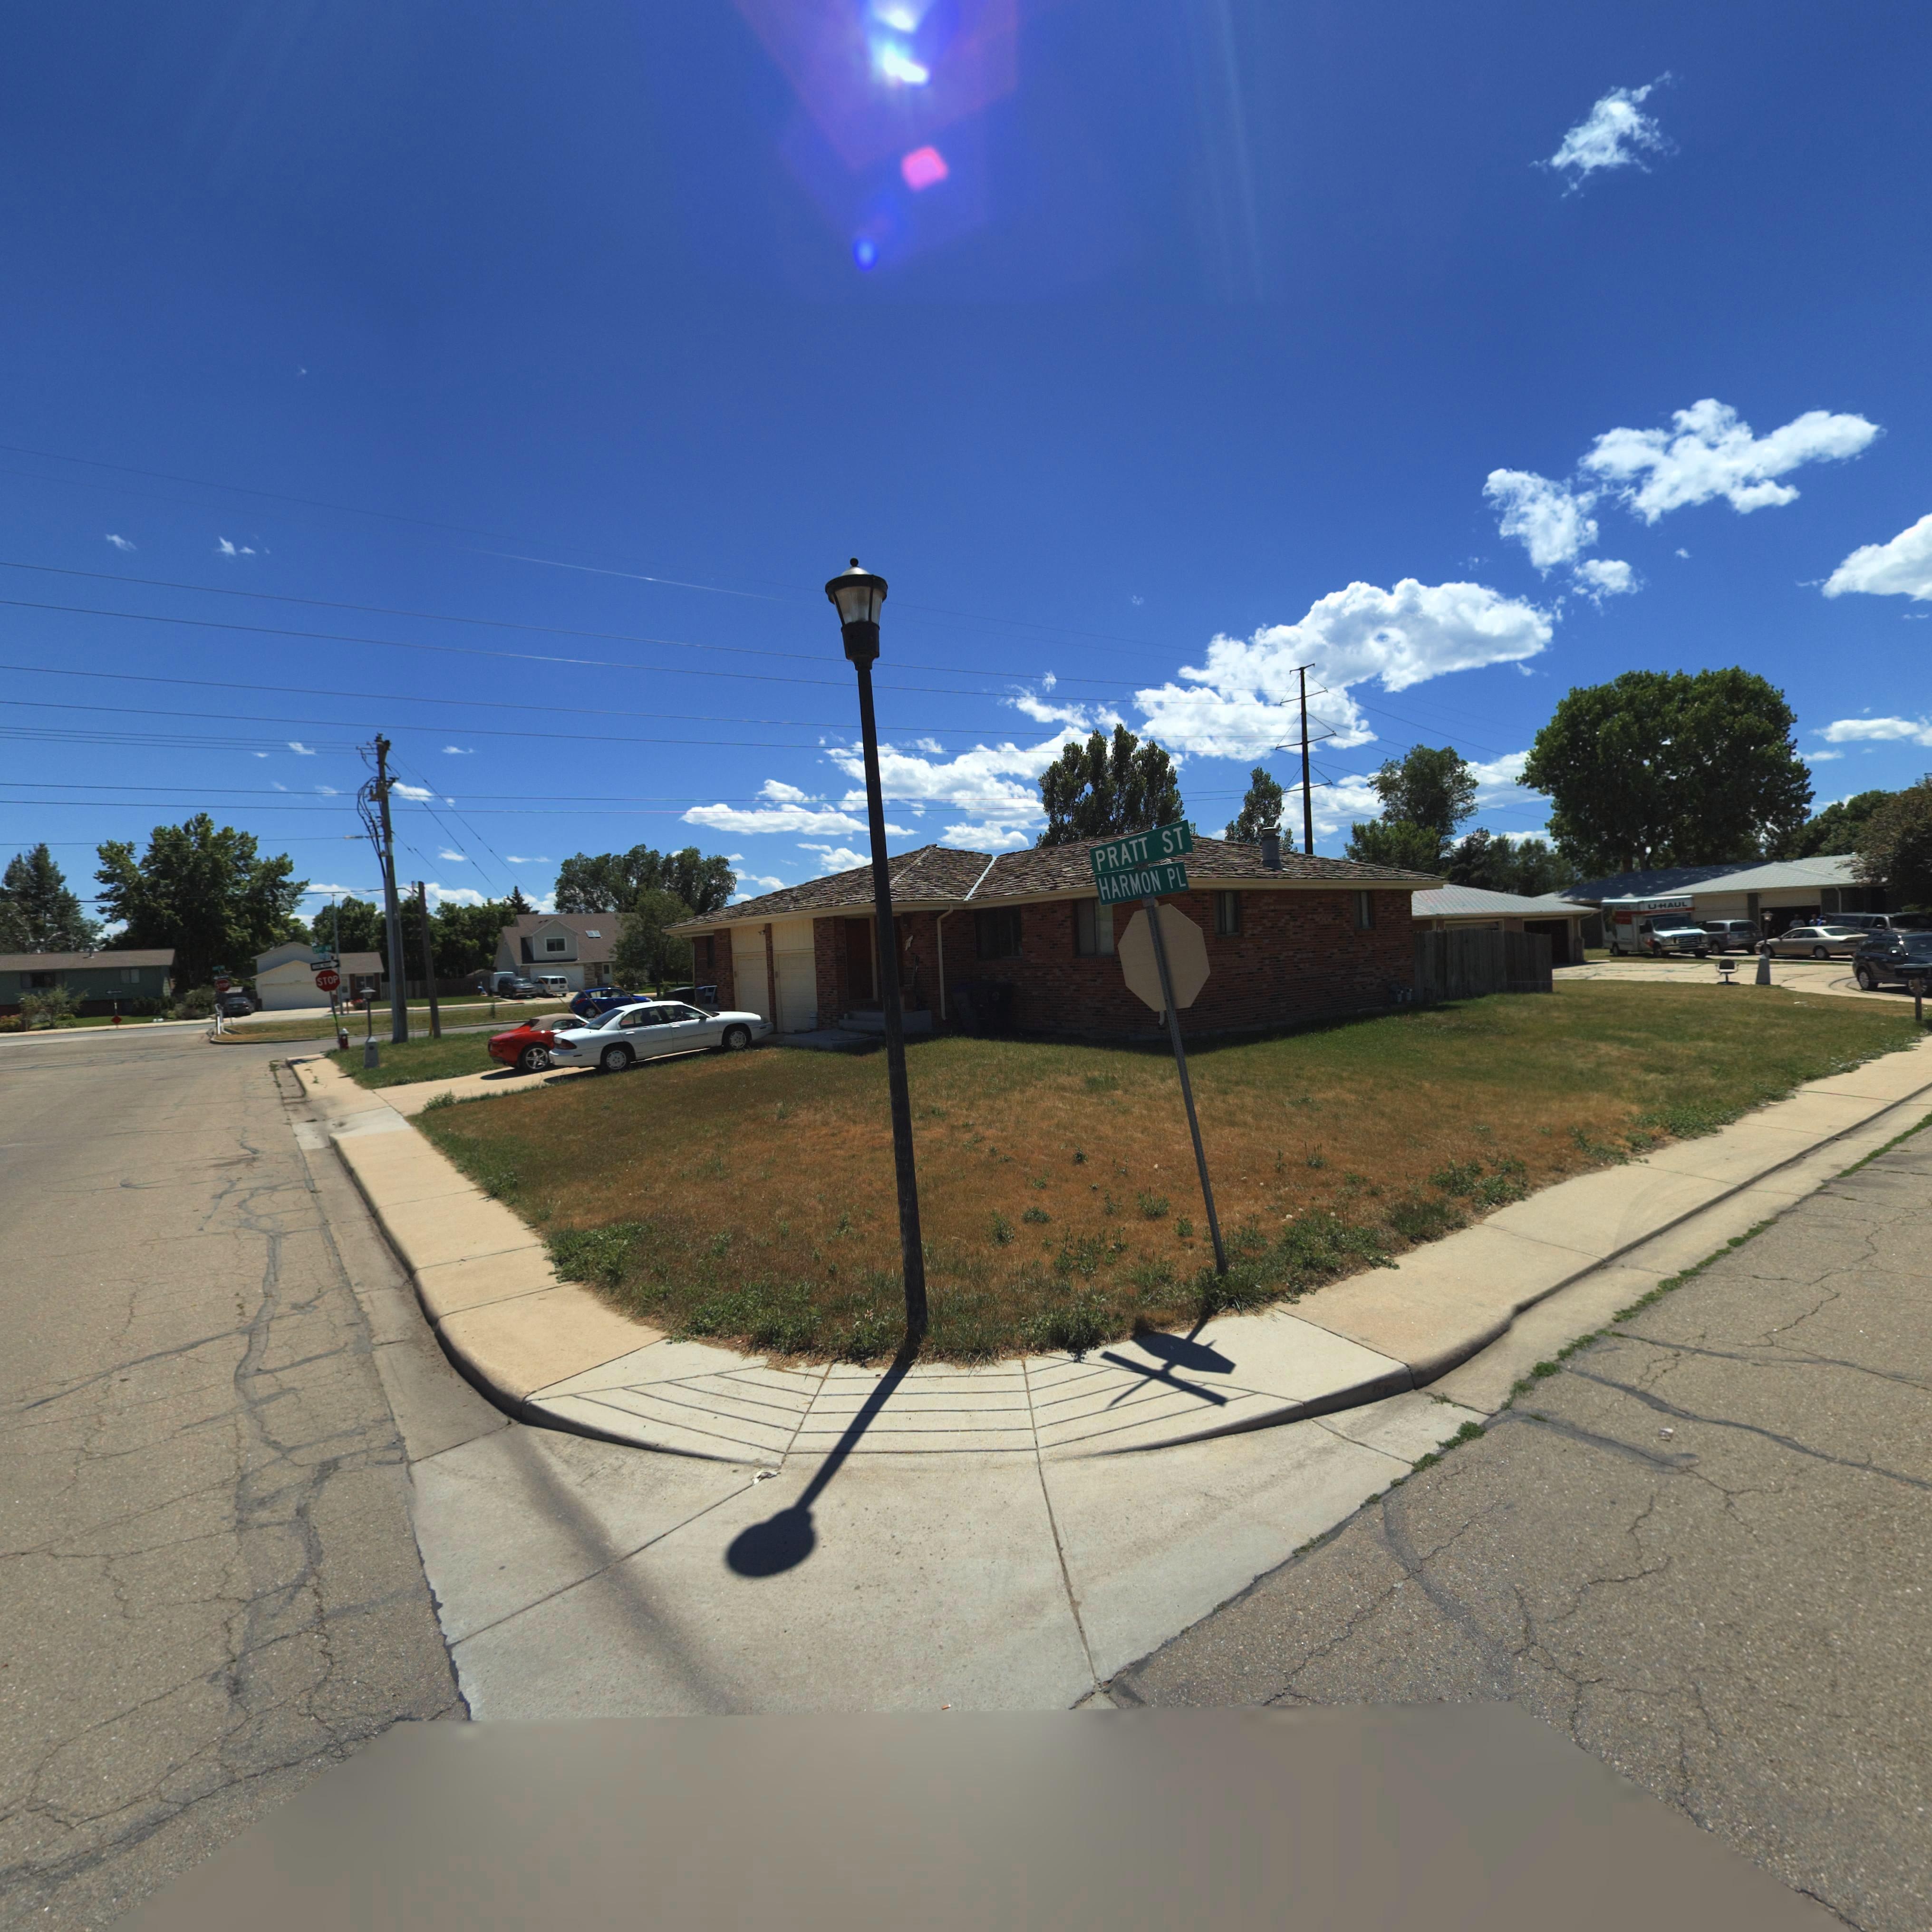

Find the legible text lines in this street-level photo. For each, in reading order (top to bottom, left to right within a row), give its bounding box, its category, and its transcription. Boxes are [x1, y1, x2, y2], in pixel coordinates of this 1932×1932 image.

[1094, 825, 1183, 871] StreetName: PRATT ST
[1098, 866, 1187, 900] StreetName: HARMON PL
[312, 944, 331, 954] StreetName: 2*** *V